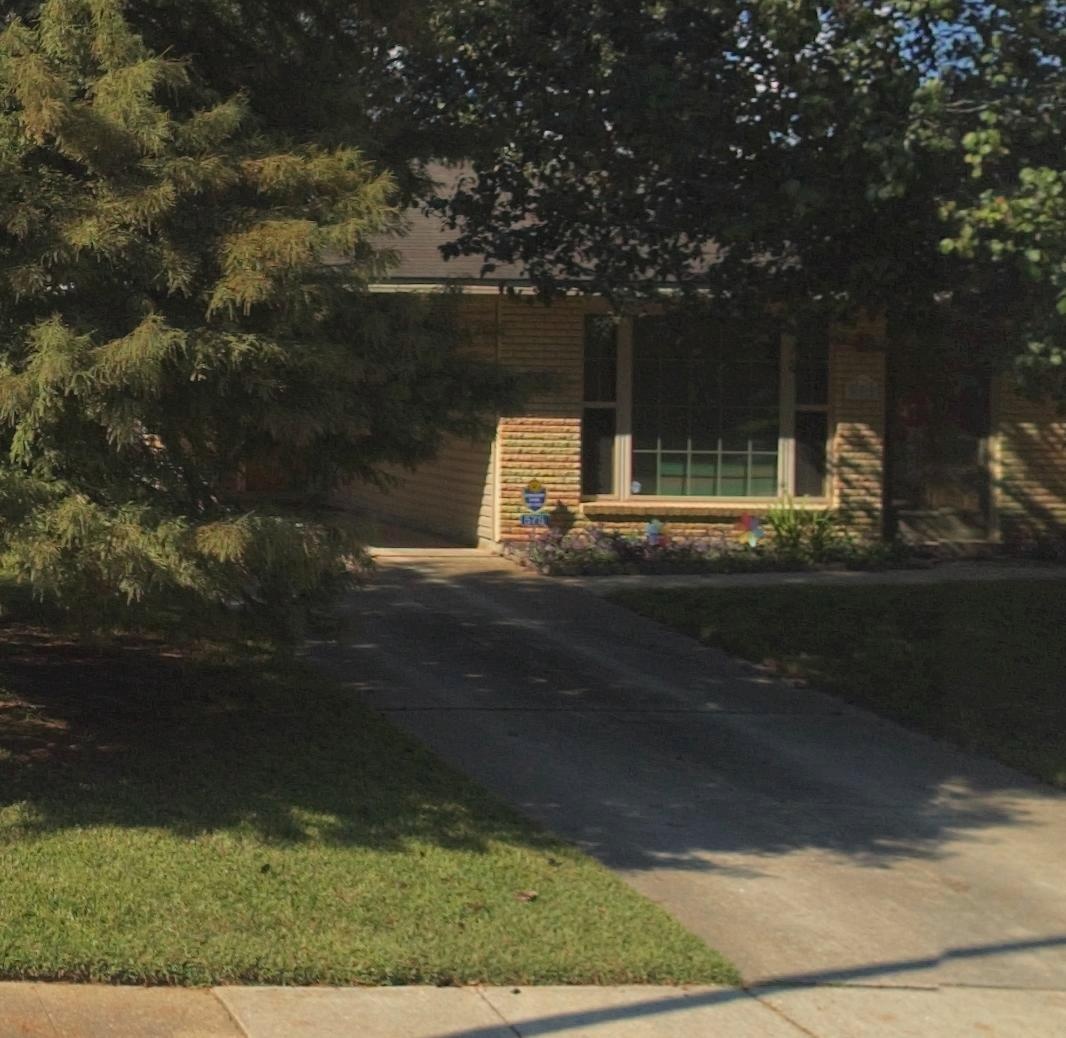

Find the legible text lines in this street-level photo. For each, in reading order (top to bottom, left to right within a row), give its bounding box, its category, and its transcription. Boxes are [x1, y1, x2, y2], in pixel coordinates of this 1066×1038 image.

[524, 516, 546, 524] StreetNumber: 575